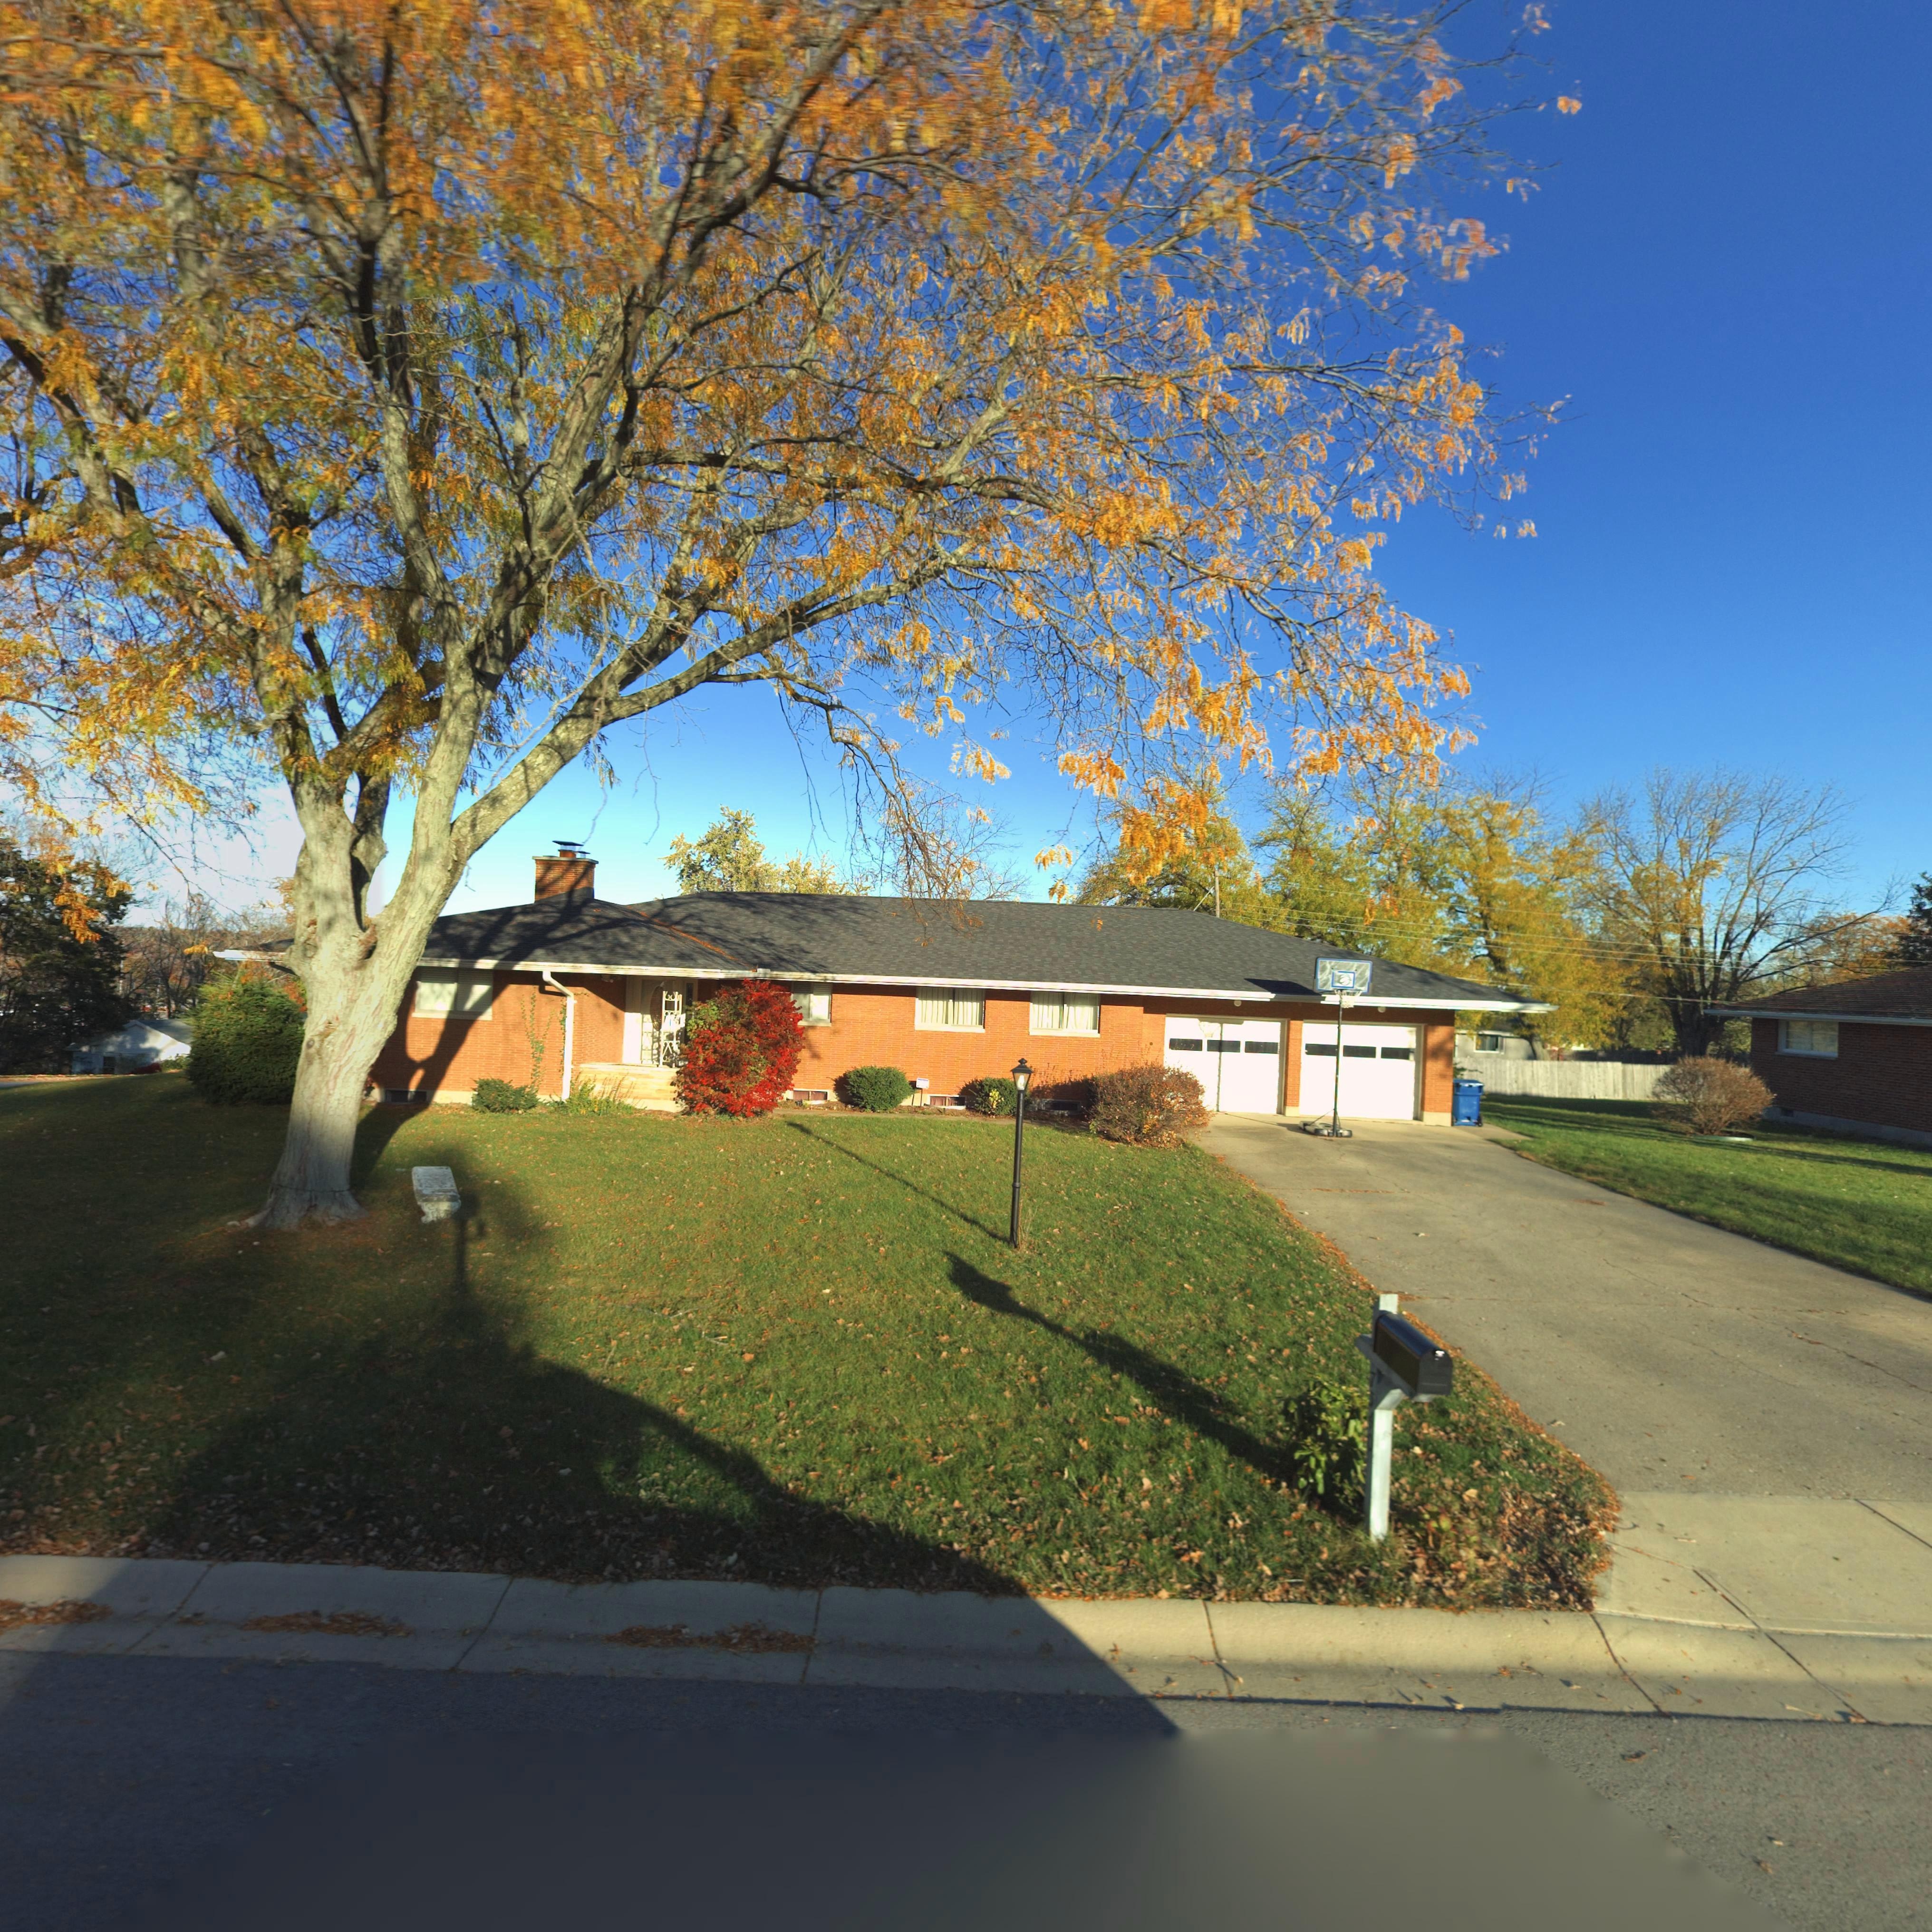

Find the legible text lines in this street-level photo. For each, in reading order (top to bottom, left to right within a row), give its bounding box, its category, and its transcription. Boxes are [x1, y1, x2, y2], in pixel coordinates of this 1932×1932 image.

[1365, 1368, 1377, 1454] StreetNumber: 7560